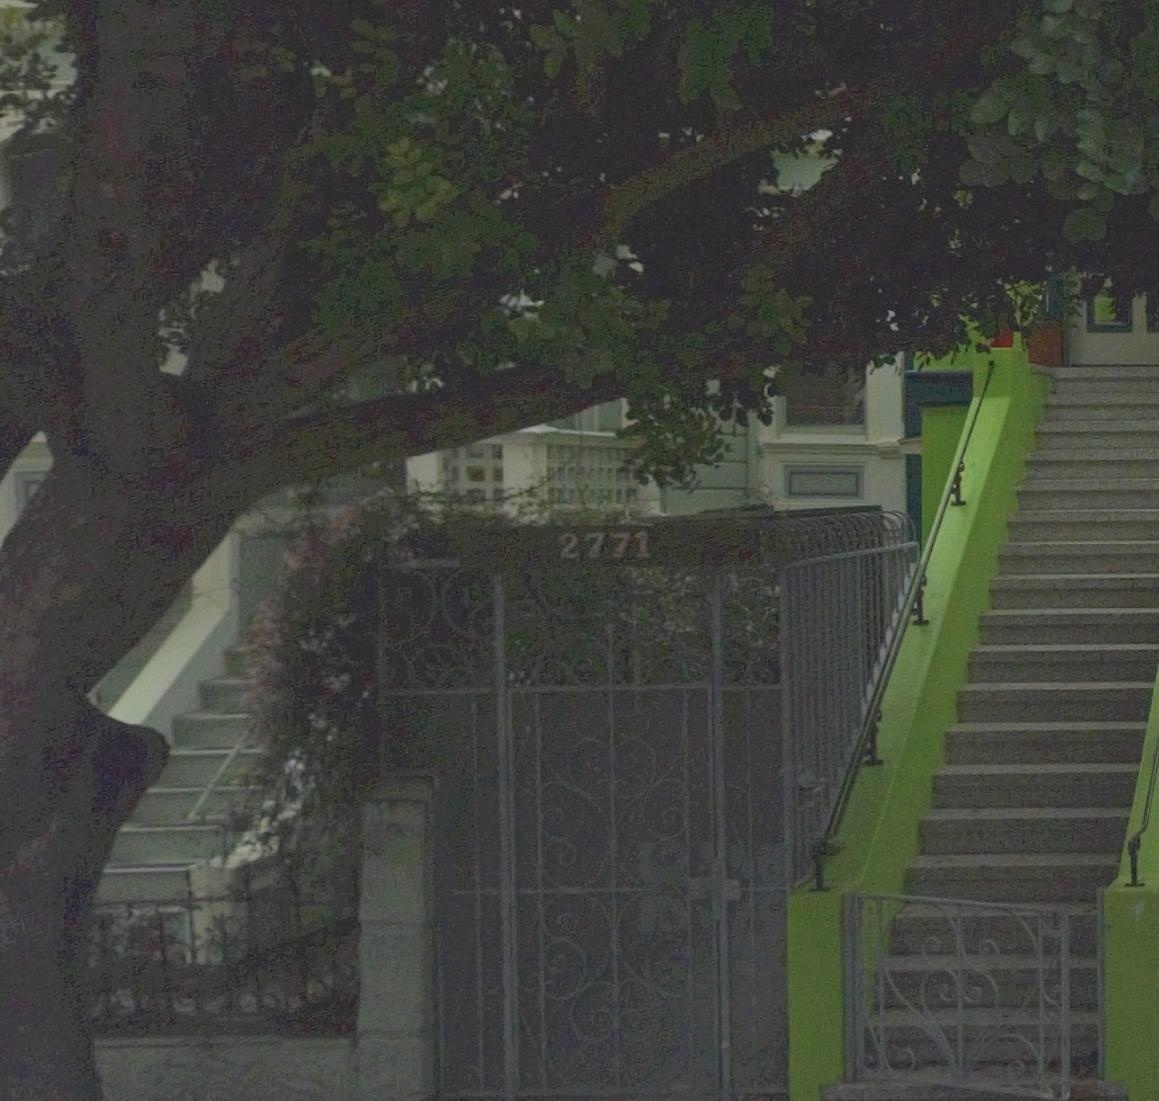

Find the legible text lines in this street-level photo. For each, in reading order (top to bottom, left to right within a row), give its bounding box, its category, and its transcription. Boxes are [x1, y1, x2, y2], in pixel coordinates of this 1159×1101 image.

[556, 530, 654, 560] StreetNumber: 2771